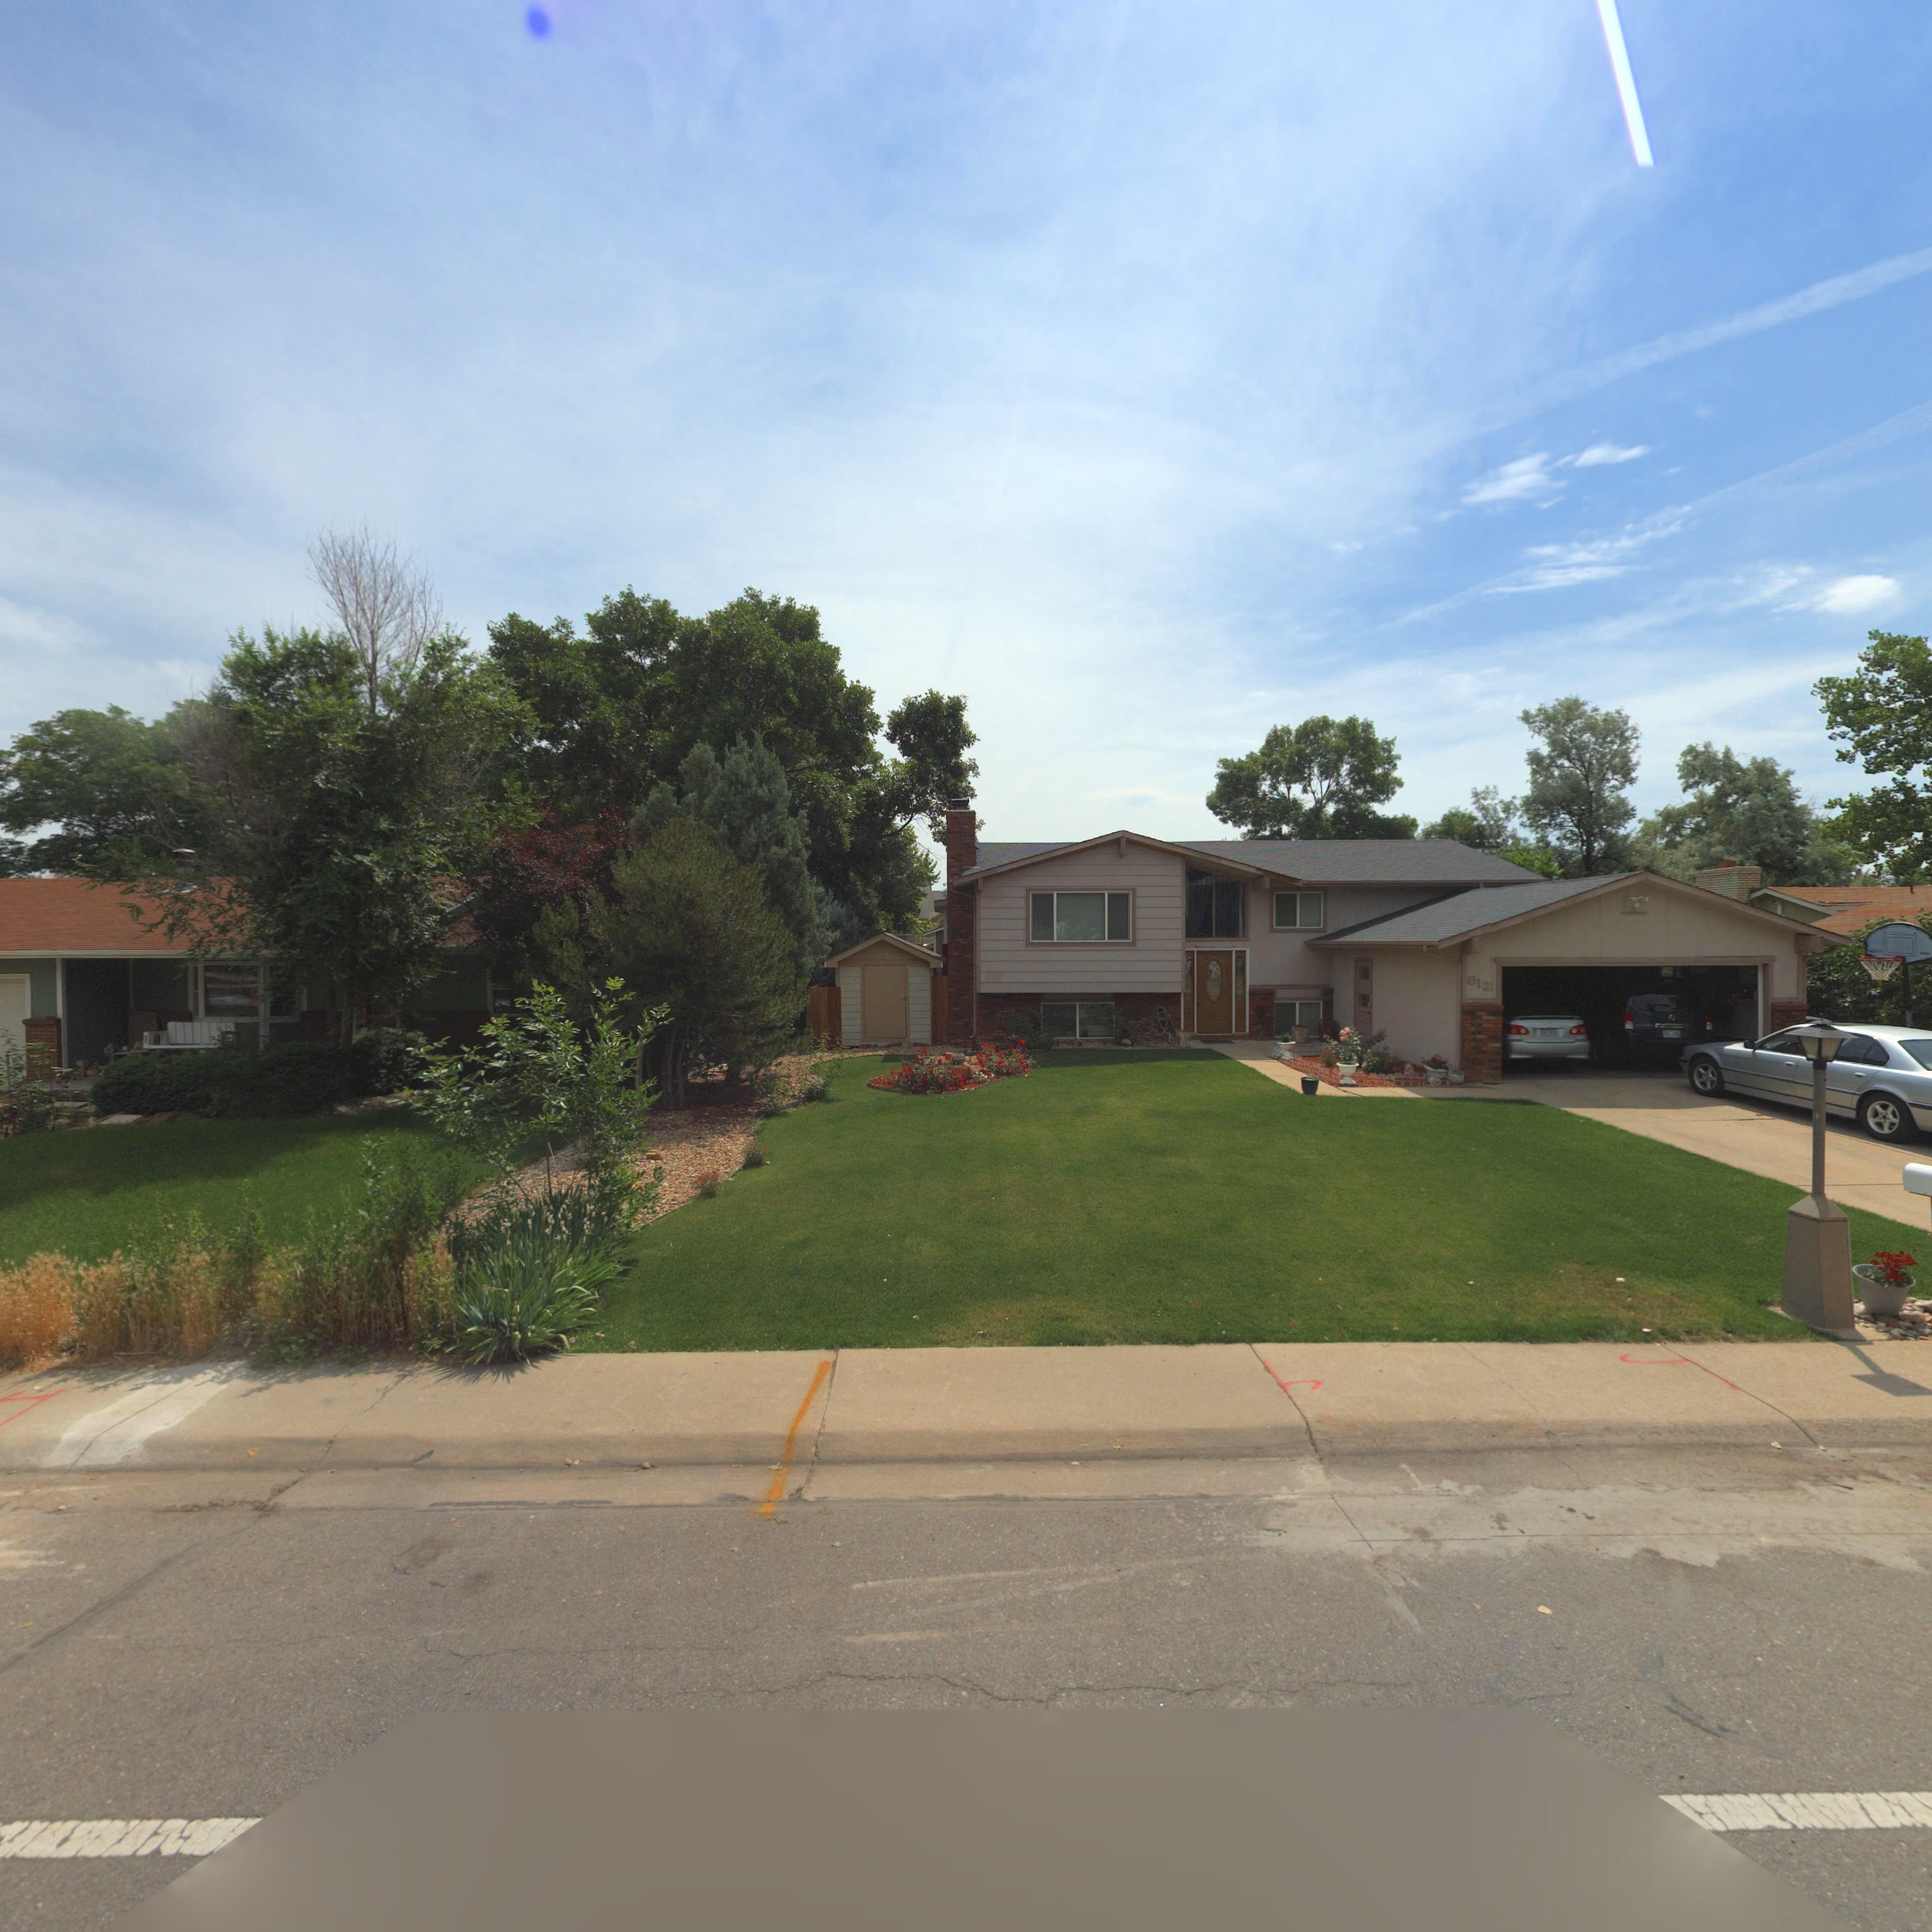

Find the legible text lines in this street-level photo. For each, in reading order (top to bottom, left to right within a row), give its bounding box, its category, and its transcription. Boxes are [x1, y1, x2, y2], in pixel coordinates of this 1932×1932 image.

[1467, 975, 1489, 991] StreetNumber: 812